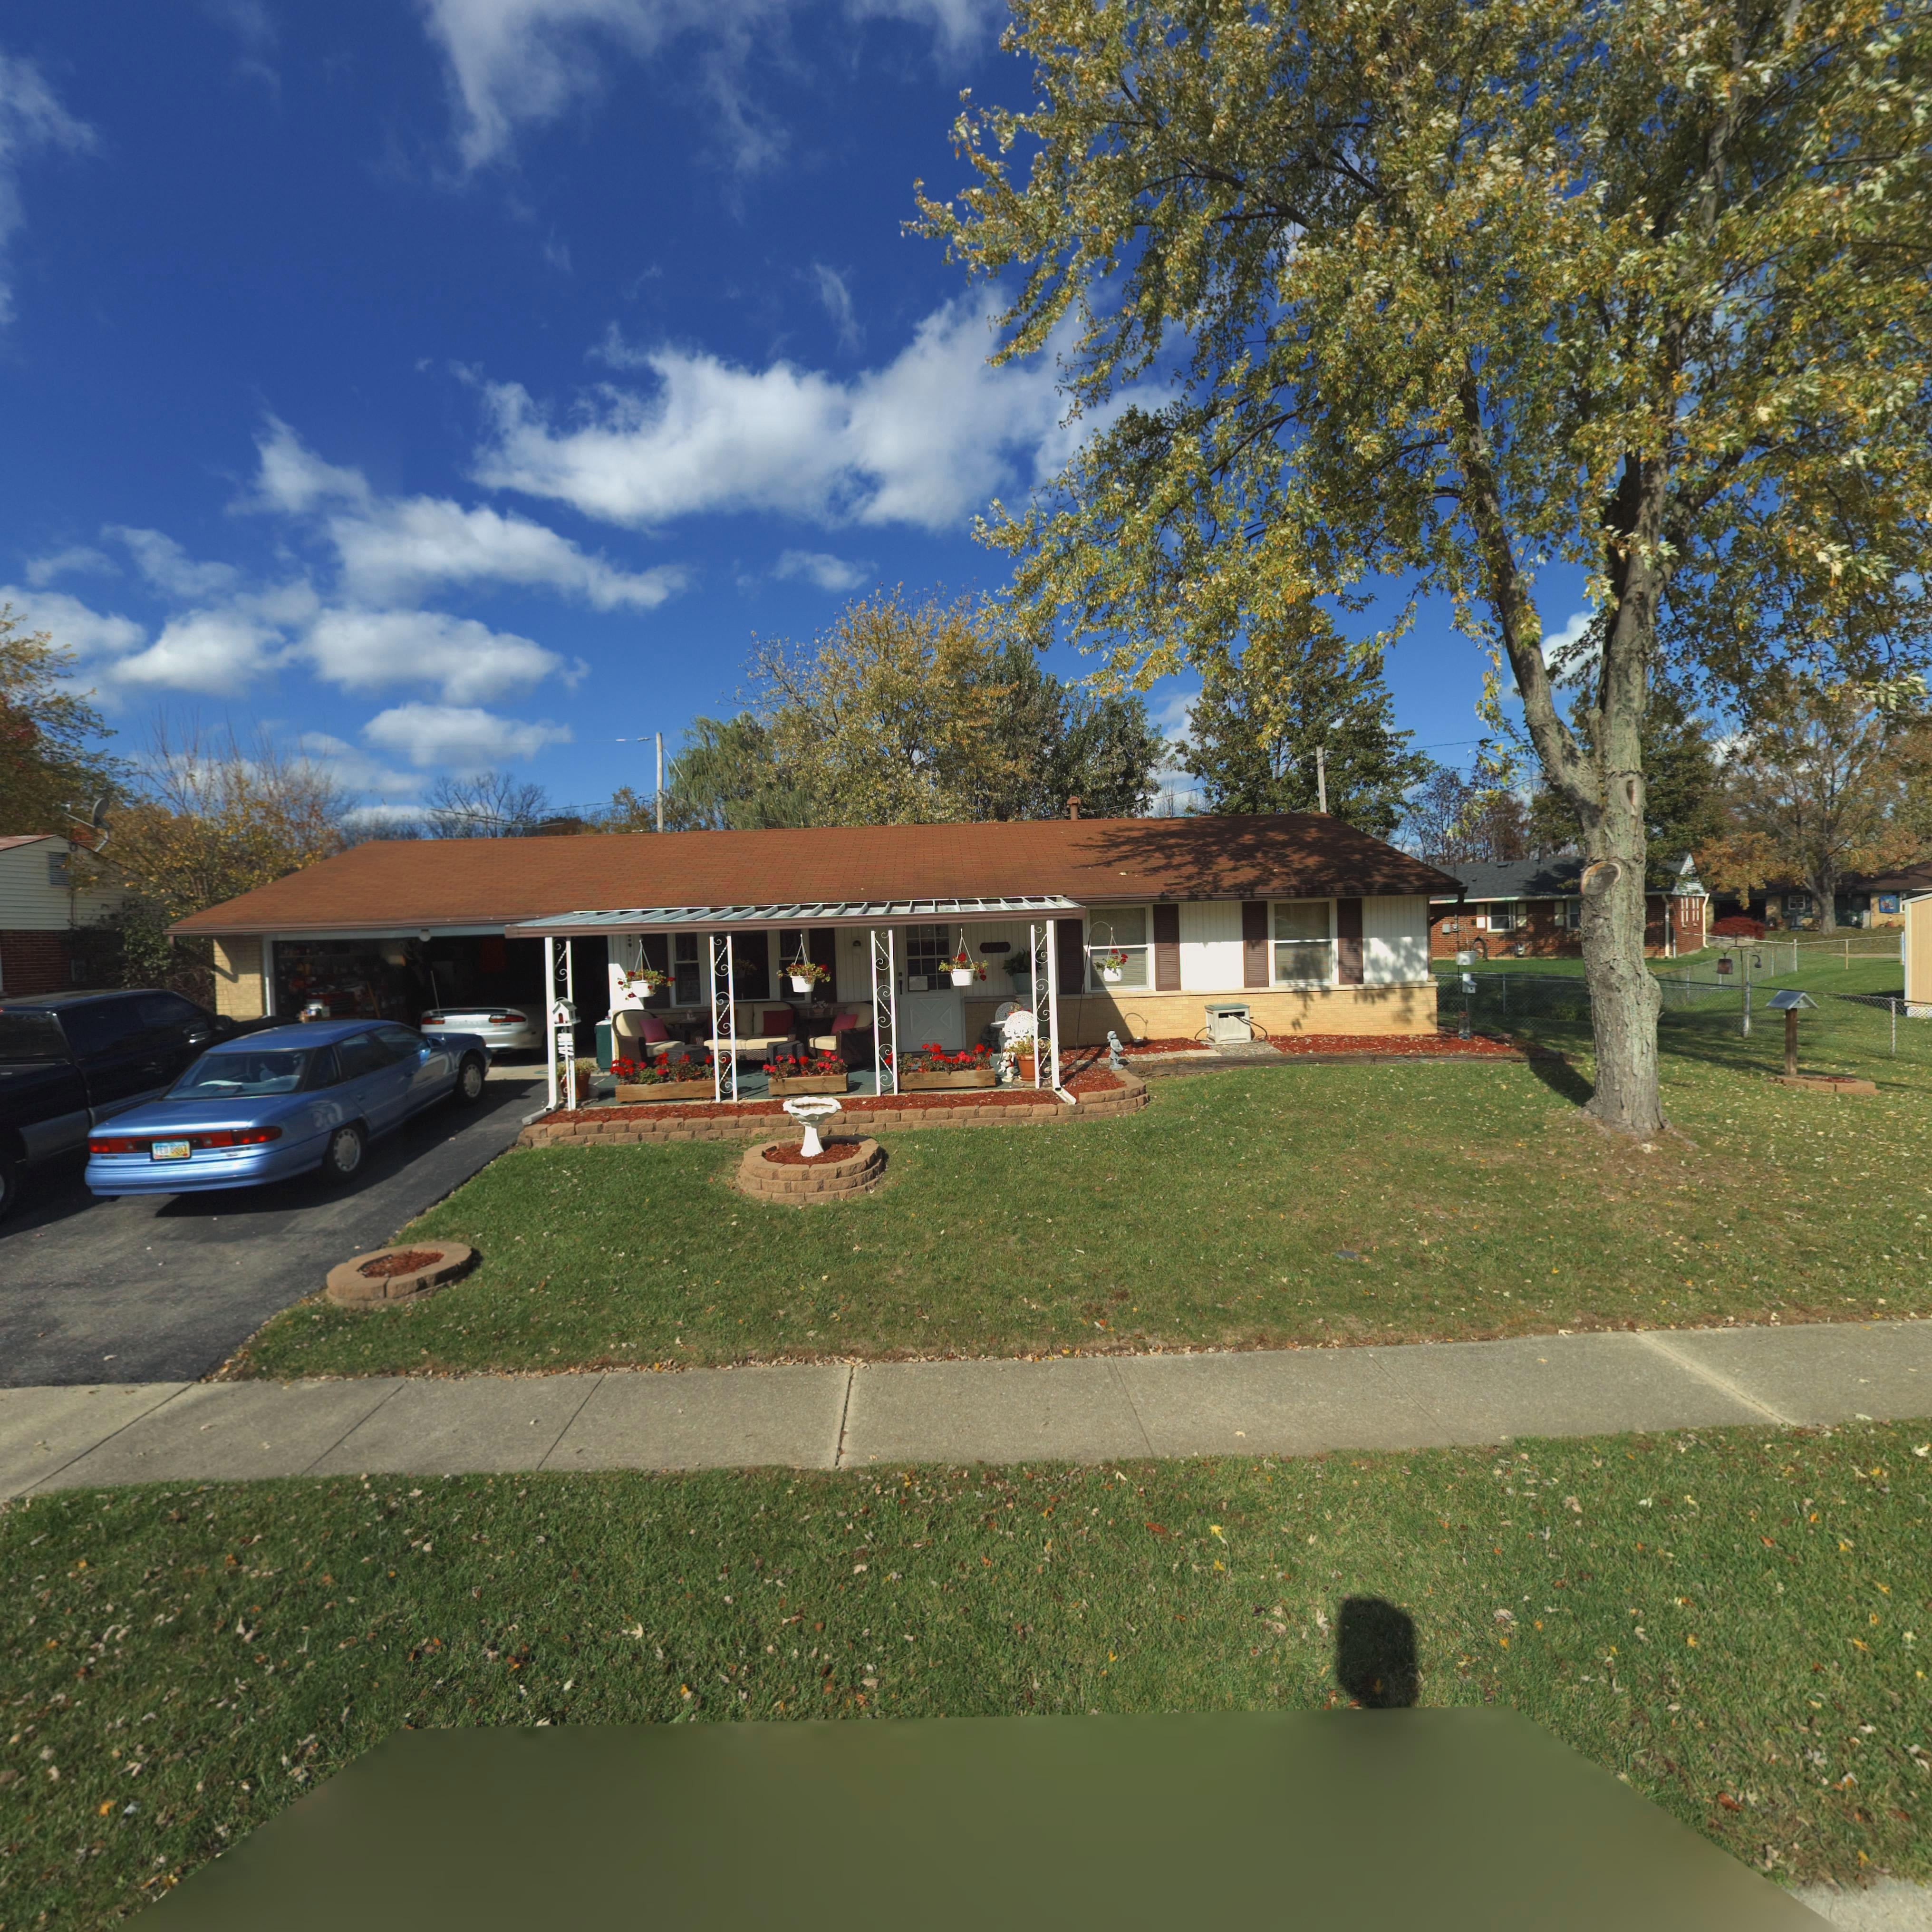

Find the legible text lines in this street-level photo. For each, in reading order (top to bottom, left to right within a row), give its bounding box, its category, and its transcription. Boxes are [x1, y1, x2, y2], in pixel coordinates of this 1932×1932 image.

[982, 942, 1007, 952] StreetNumber: 6663